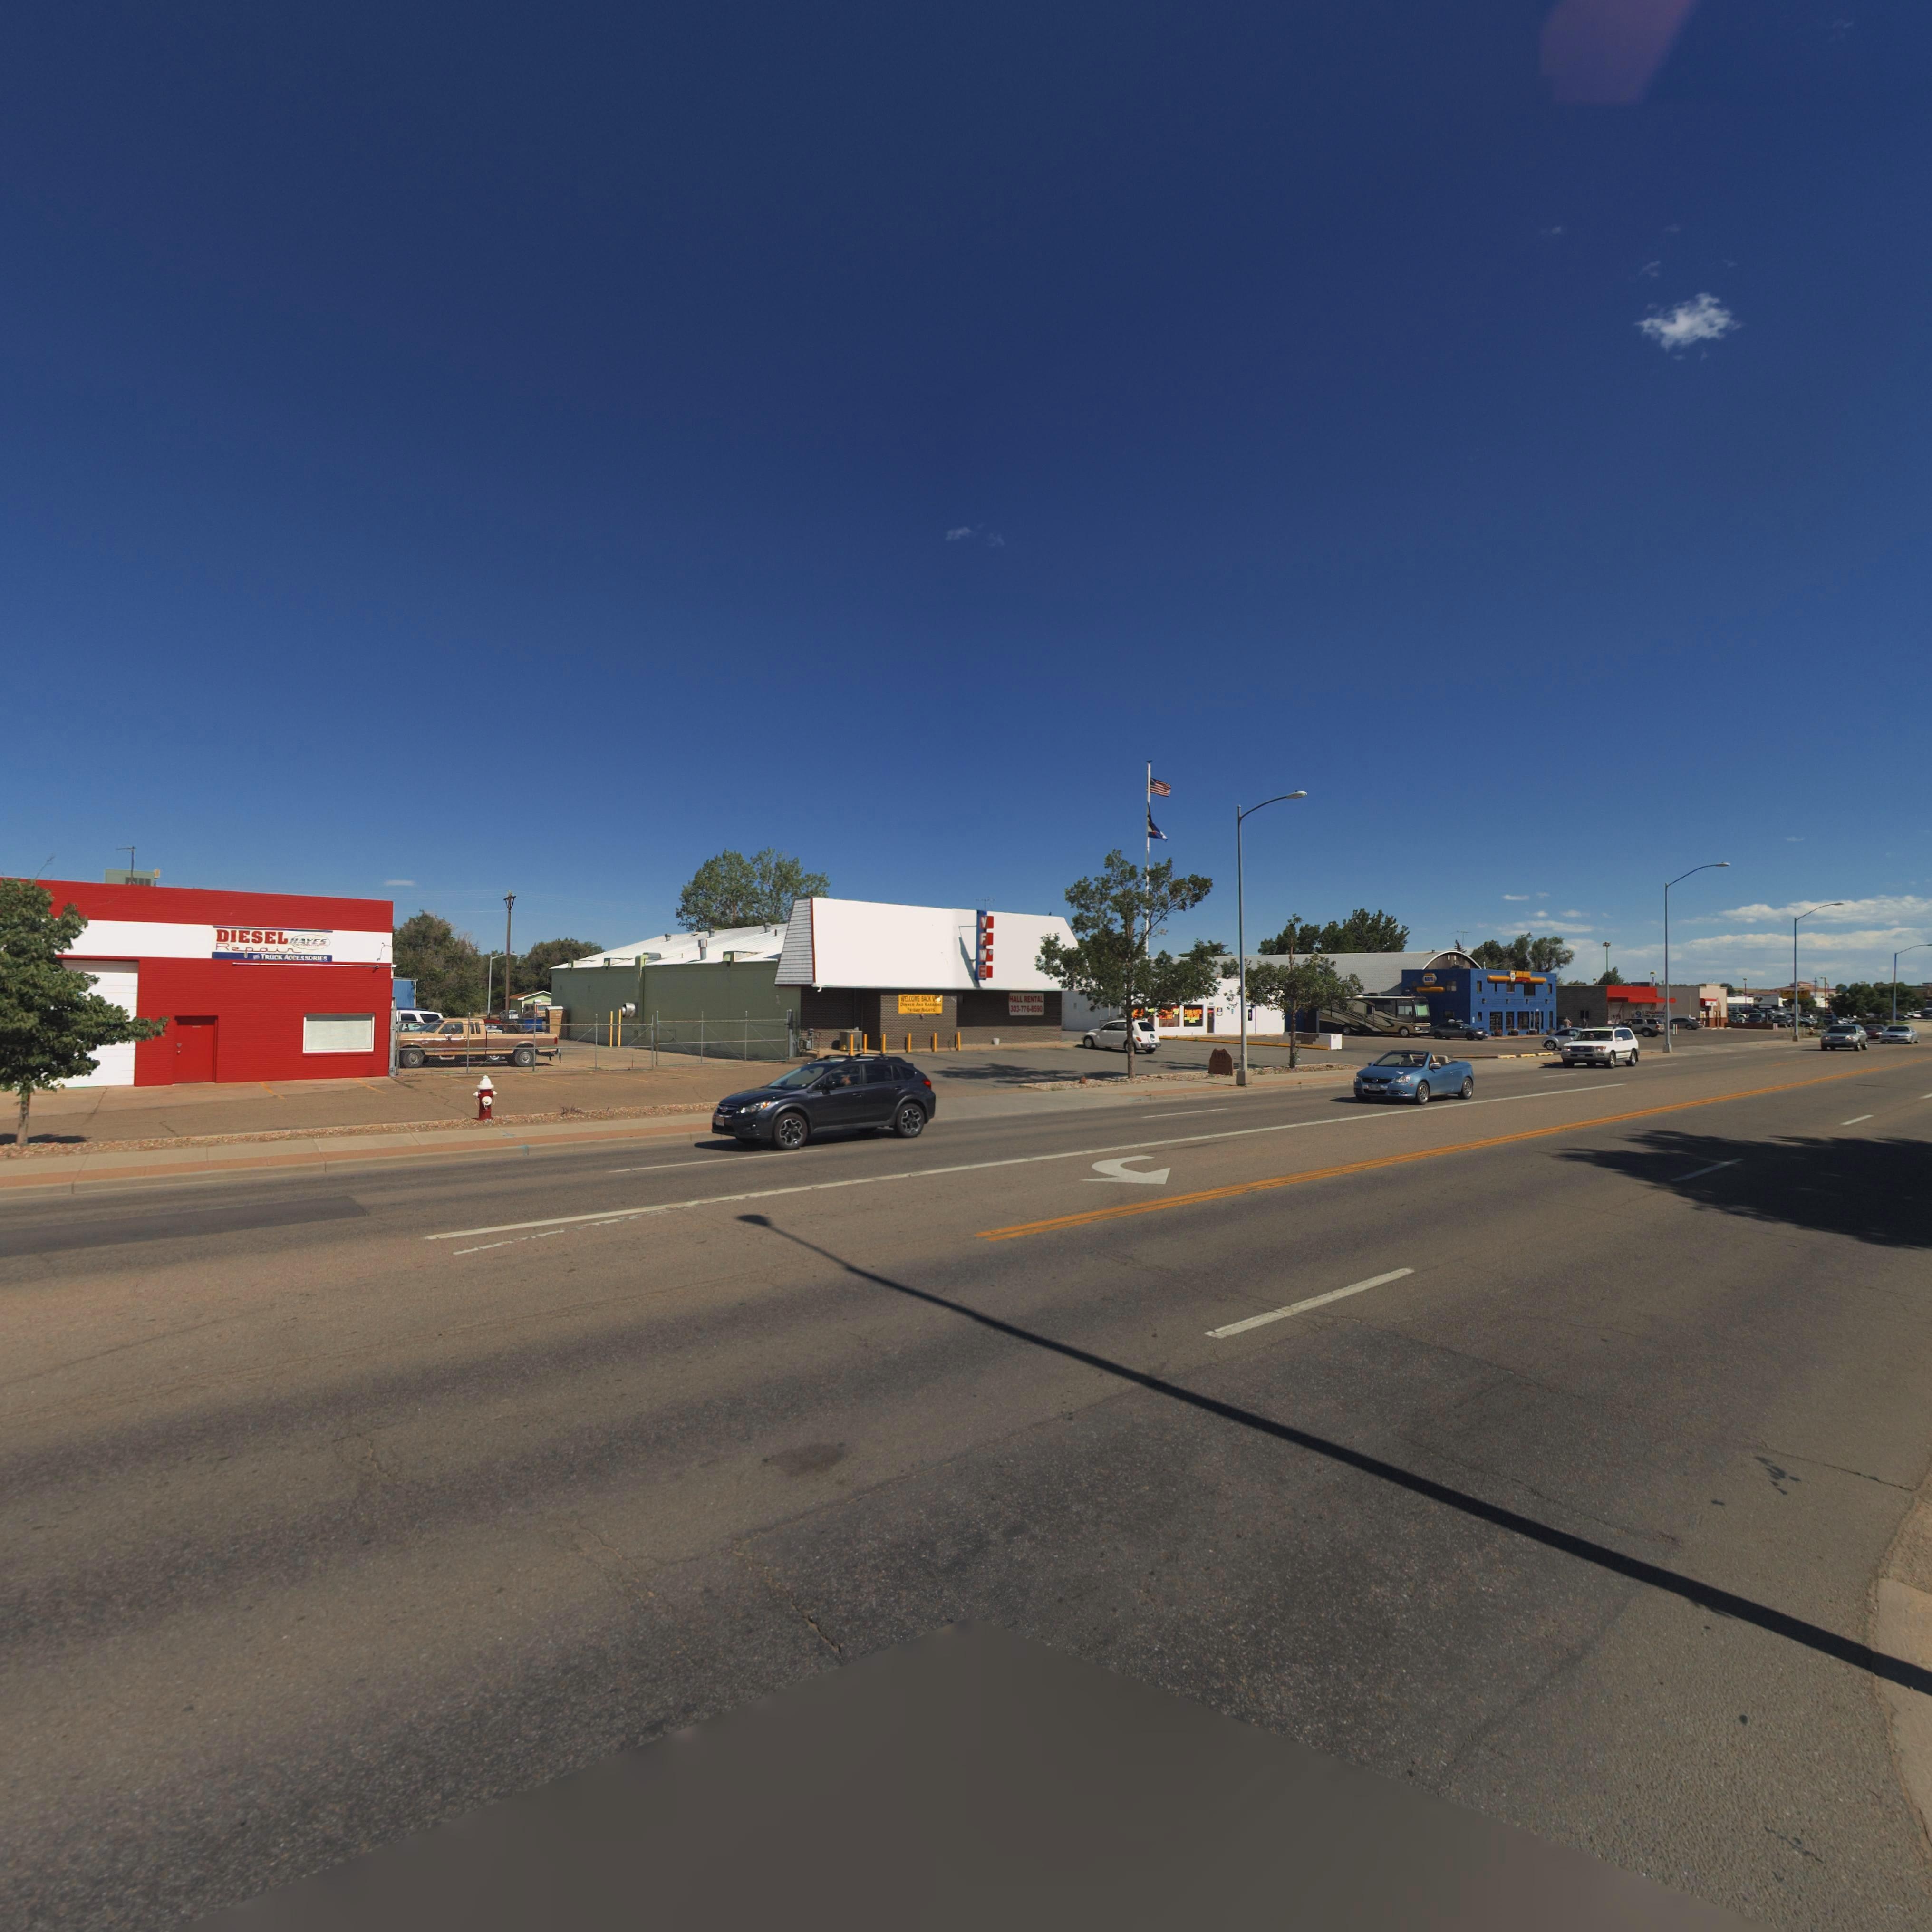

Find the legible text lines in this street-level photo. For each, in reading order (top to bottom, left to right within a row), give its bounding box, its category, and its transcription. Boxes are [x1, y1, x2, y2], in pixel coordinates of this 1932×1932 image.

[288, 937, 327, 946] BusinessName: HAYES
[978, 915, 988, 961] BusinessName: VFW
[1424, 976, 1433, 981] BusinessName: *APA
[1784, 989, 1805, 995] BusinessName: Z*E